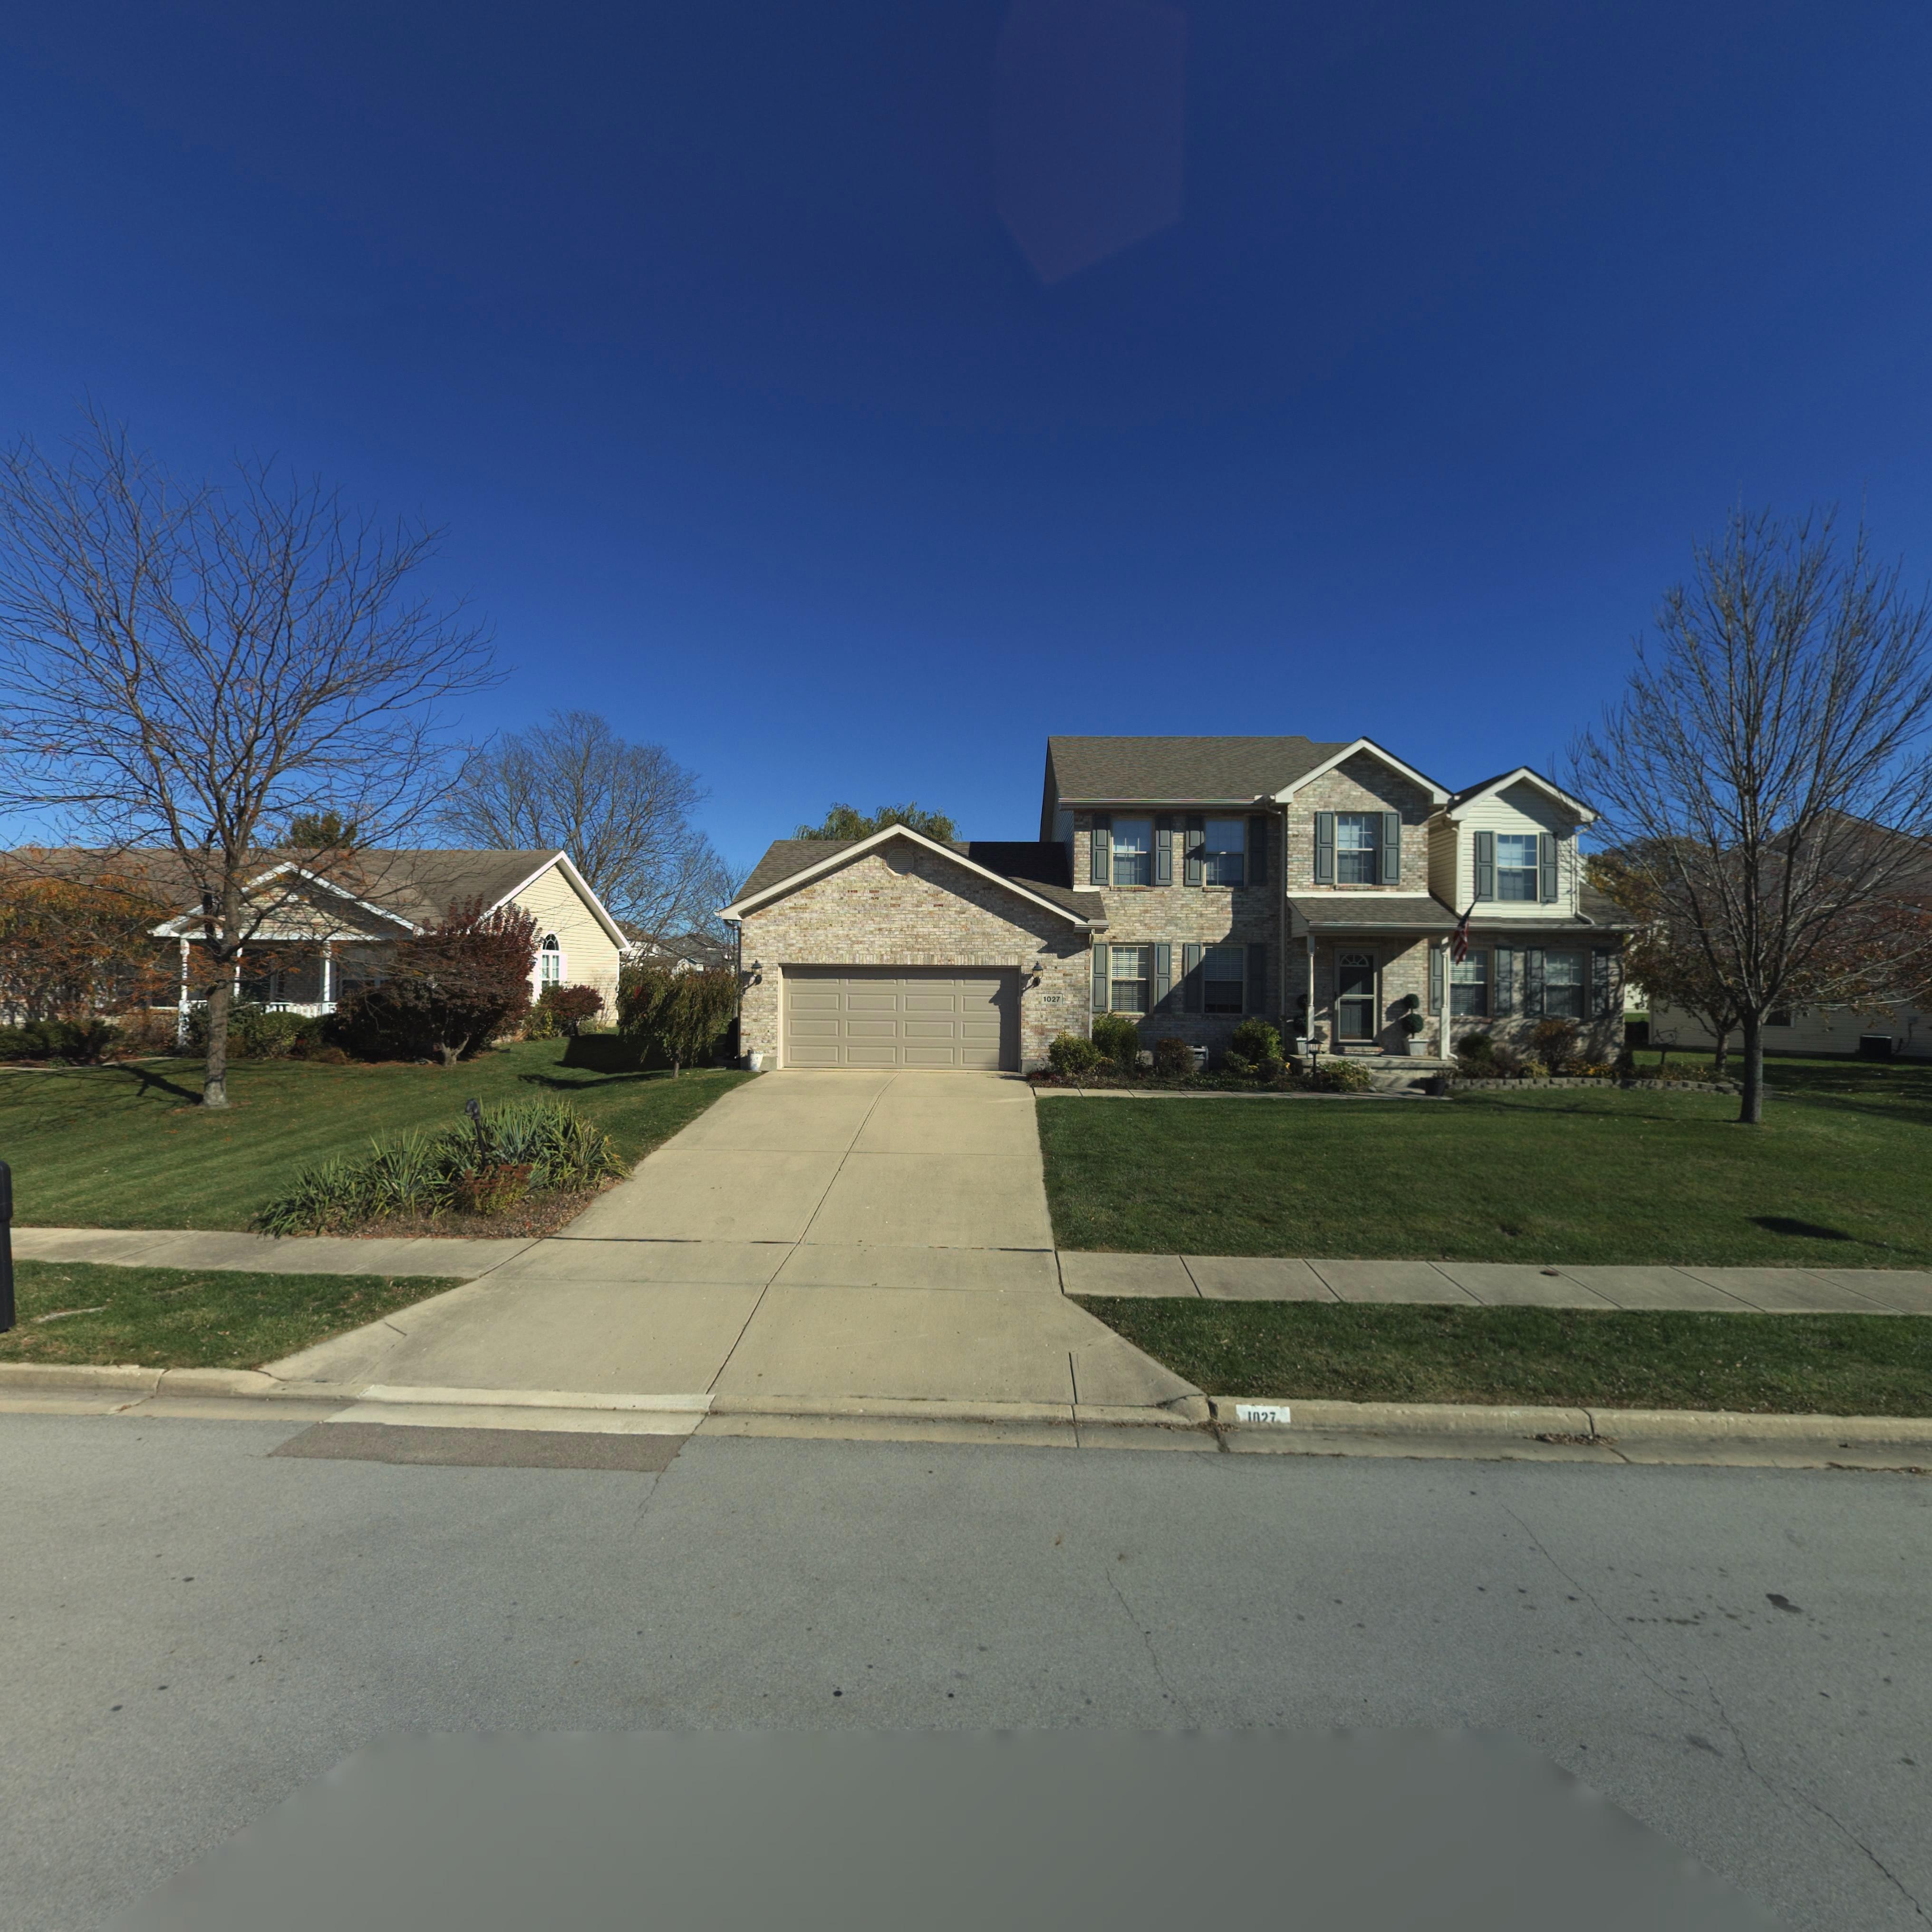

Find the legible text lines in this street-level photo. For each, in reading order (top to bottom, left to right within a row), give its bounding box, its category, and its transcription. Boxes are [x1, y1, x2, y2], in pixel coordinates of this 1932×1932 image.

[1042, 995, 1061, 1003] StreetNumber: 1027
[1247, 1410, 1277, 1425] StreetNumber: 1**7